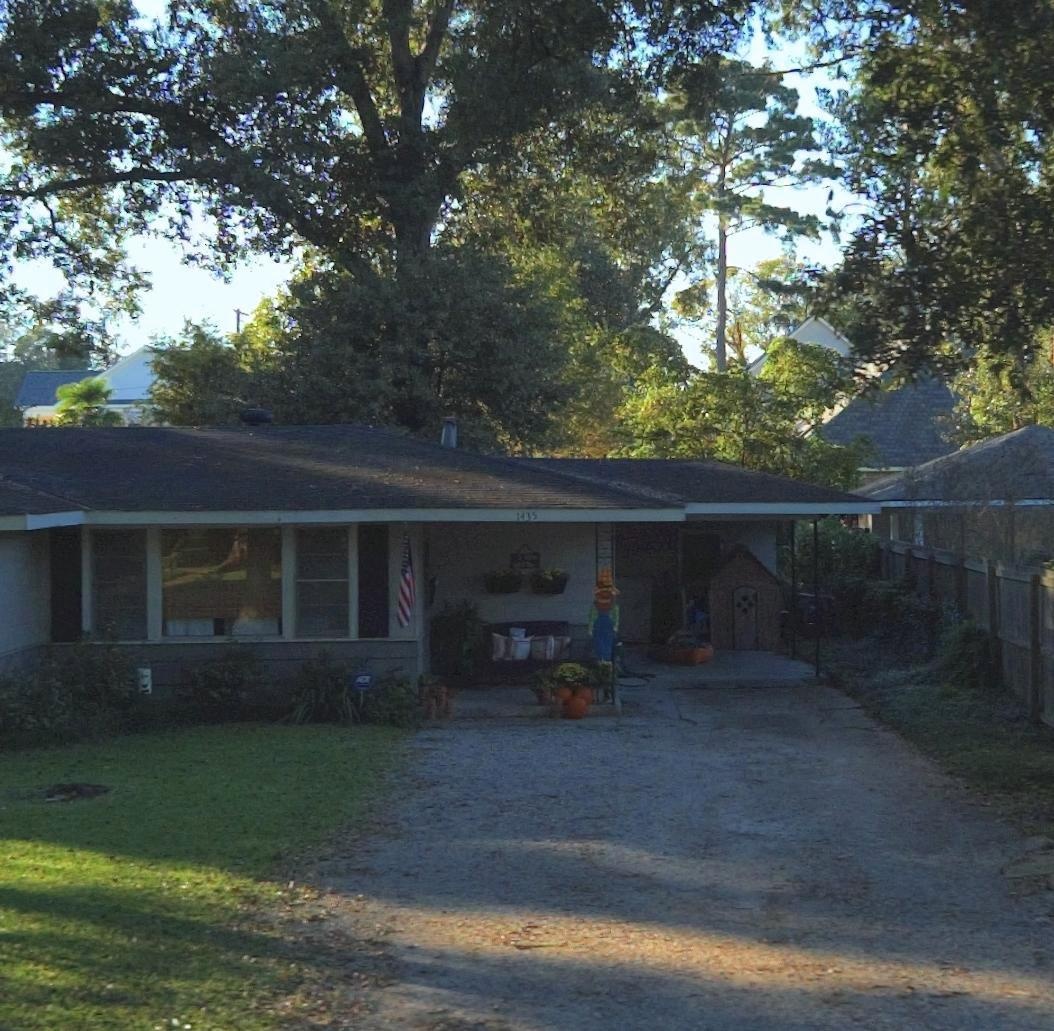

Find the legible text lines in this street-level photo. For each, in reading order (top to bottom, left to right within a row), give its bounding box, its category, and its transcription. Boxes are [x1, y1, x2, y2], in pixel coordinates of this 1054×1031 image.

[515, 509, 539, 523] StreetNumber: 1435